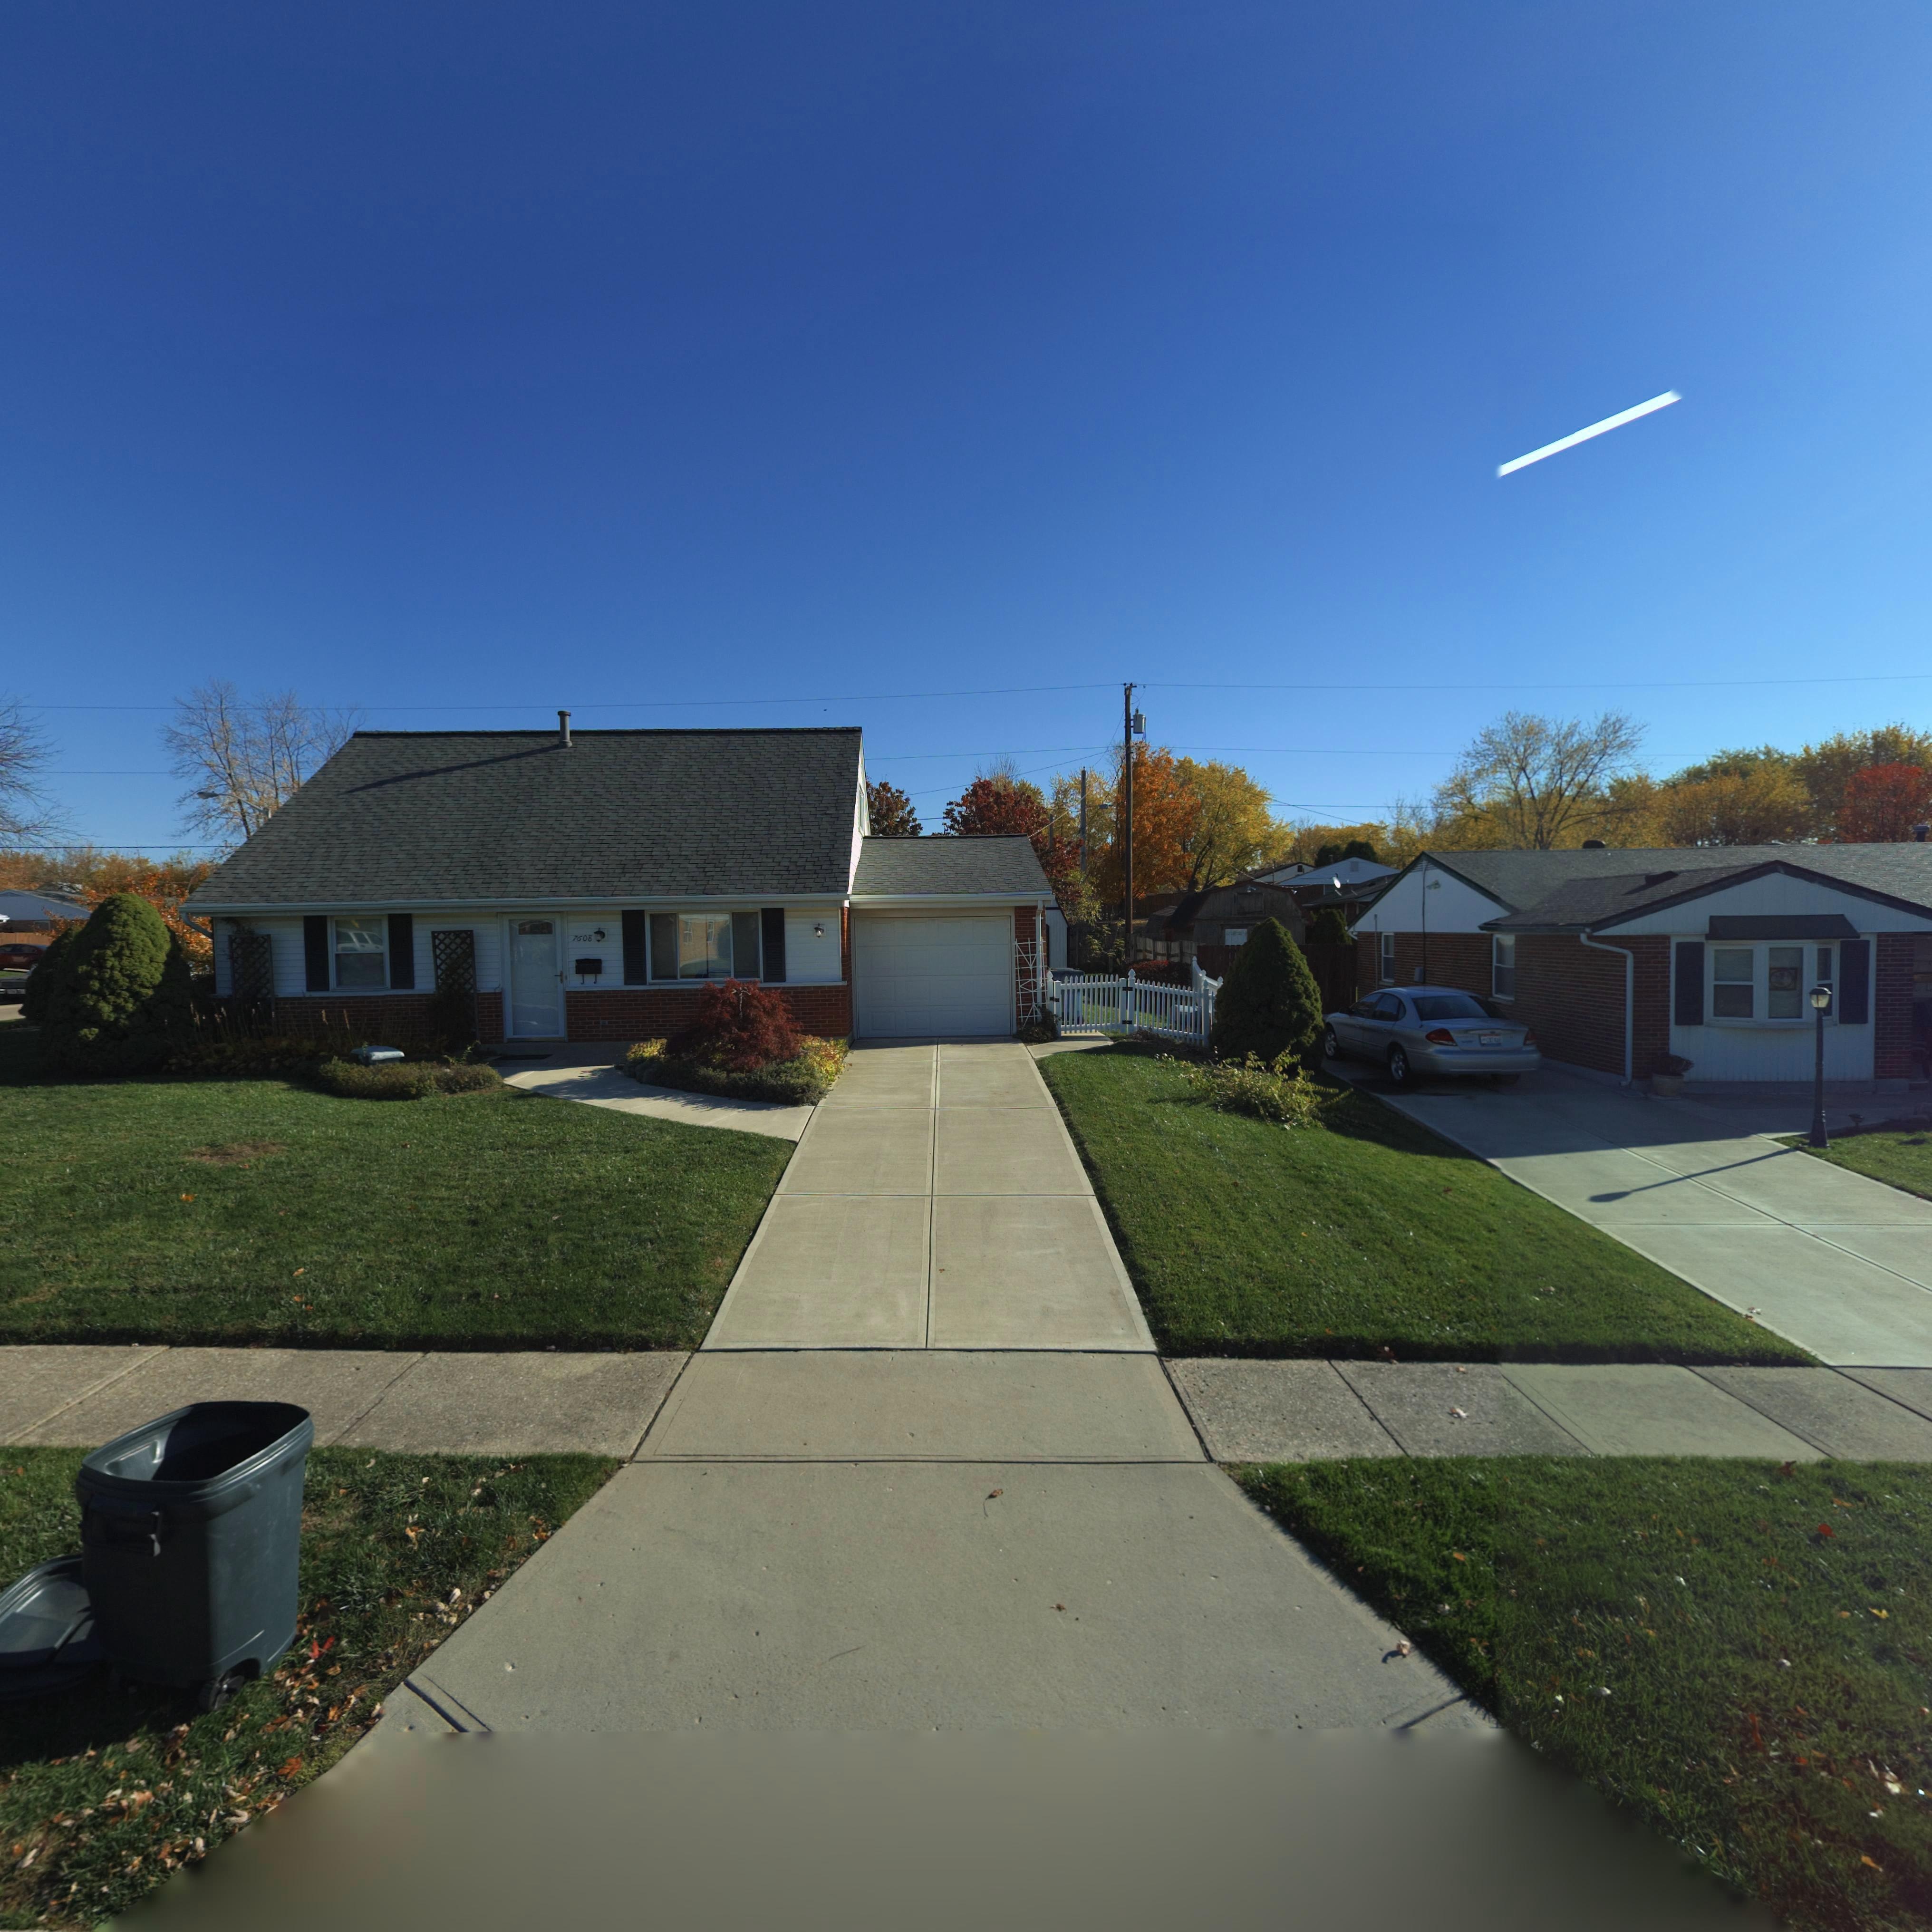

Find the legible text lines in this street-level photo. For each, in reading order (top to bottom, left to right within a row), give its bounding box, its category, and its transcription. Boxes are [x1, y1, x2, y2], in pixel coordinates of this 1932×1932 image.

[570, 934, 594, 943] StreetNumber: 7608